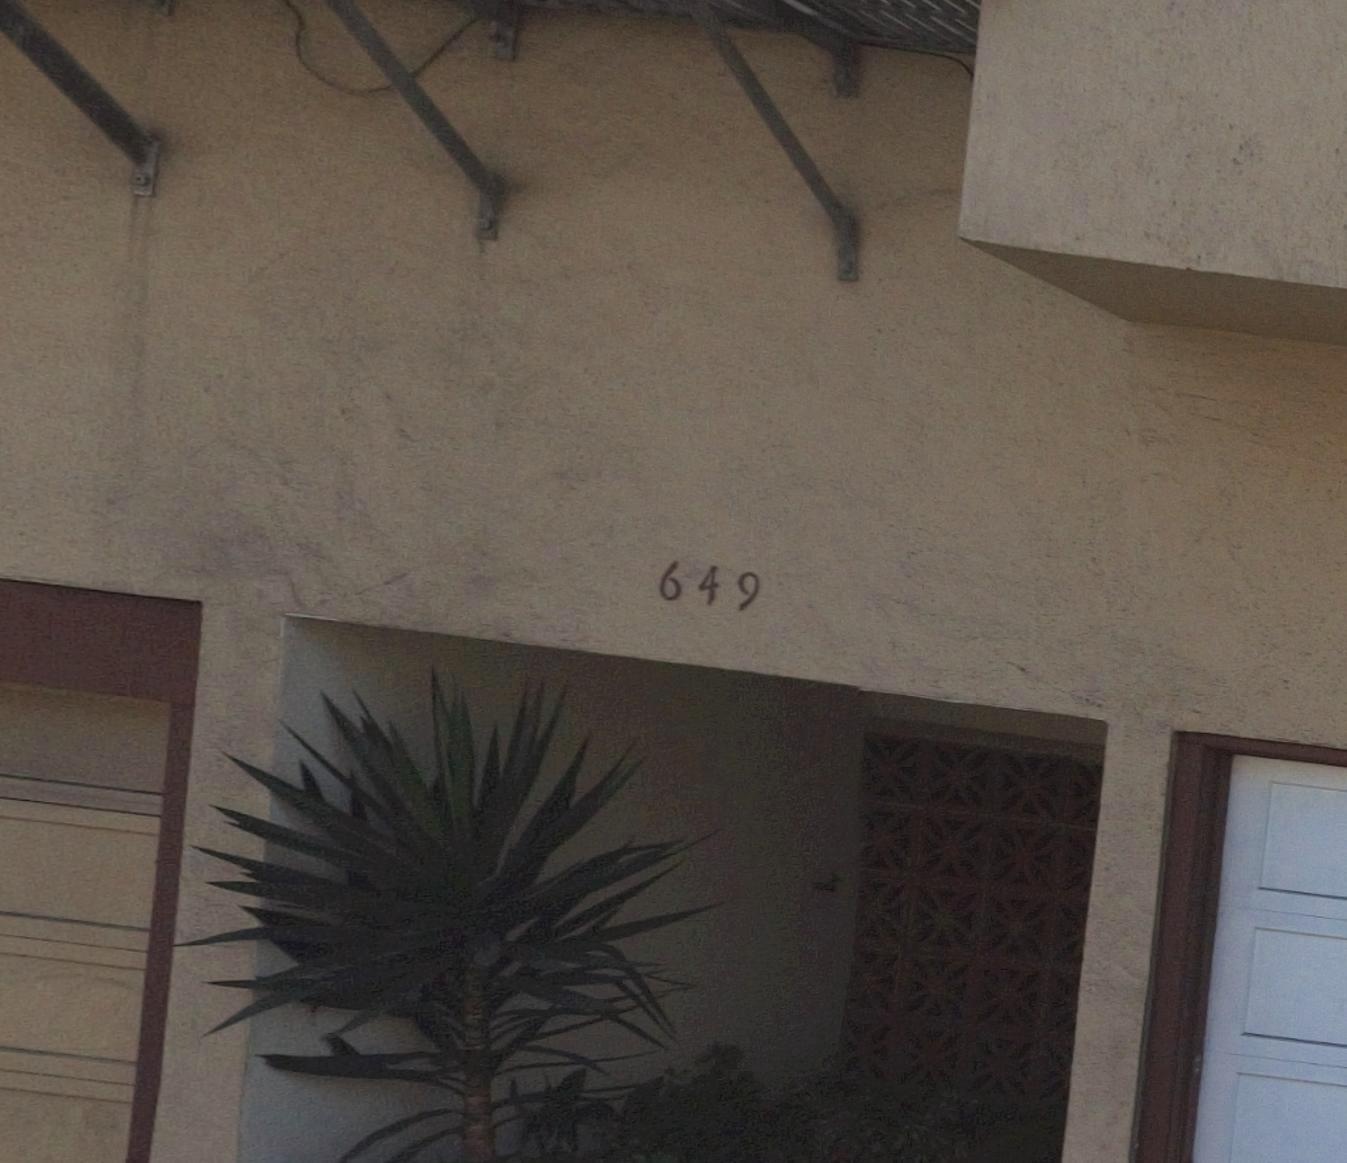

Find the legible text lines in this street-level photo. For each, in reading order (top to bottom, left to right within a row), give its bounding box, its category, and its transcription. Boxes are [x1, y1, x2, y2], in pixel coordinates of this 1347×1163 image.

[657, 560, 760, 612] StreetNumber: 649